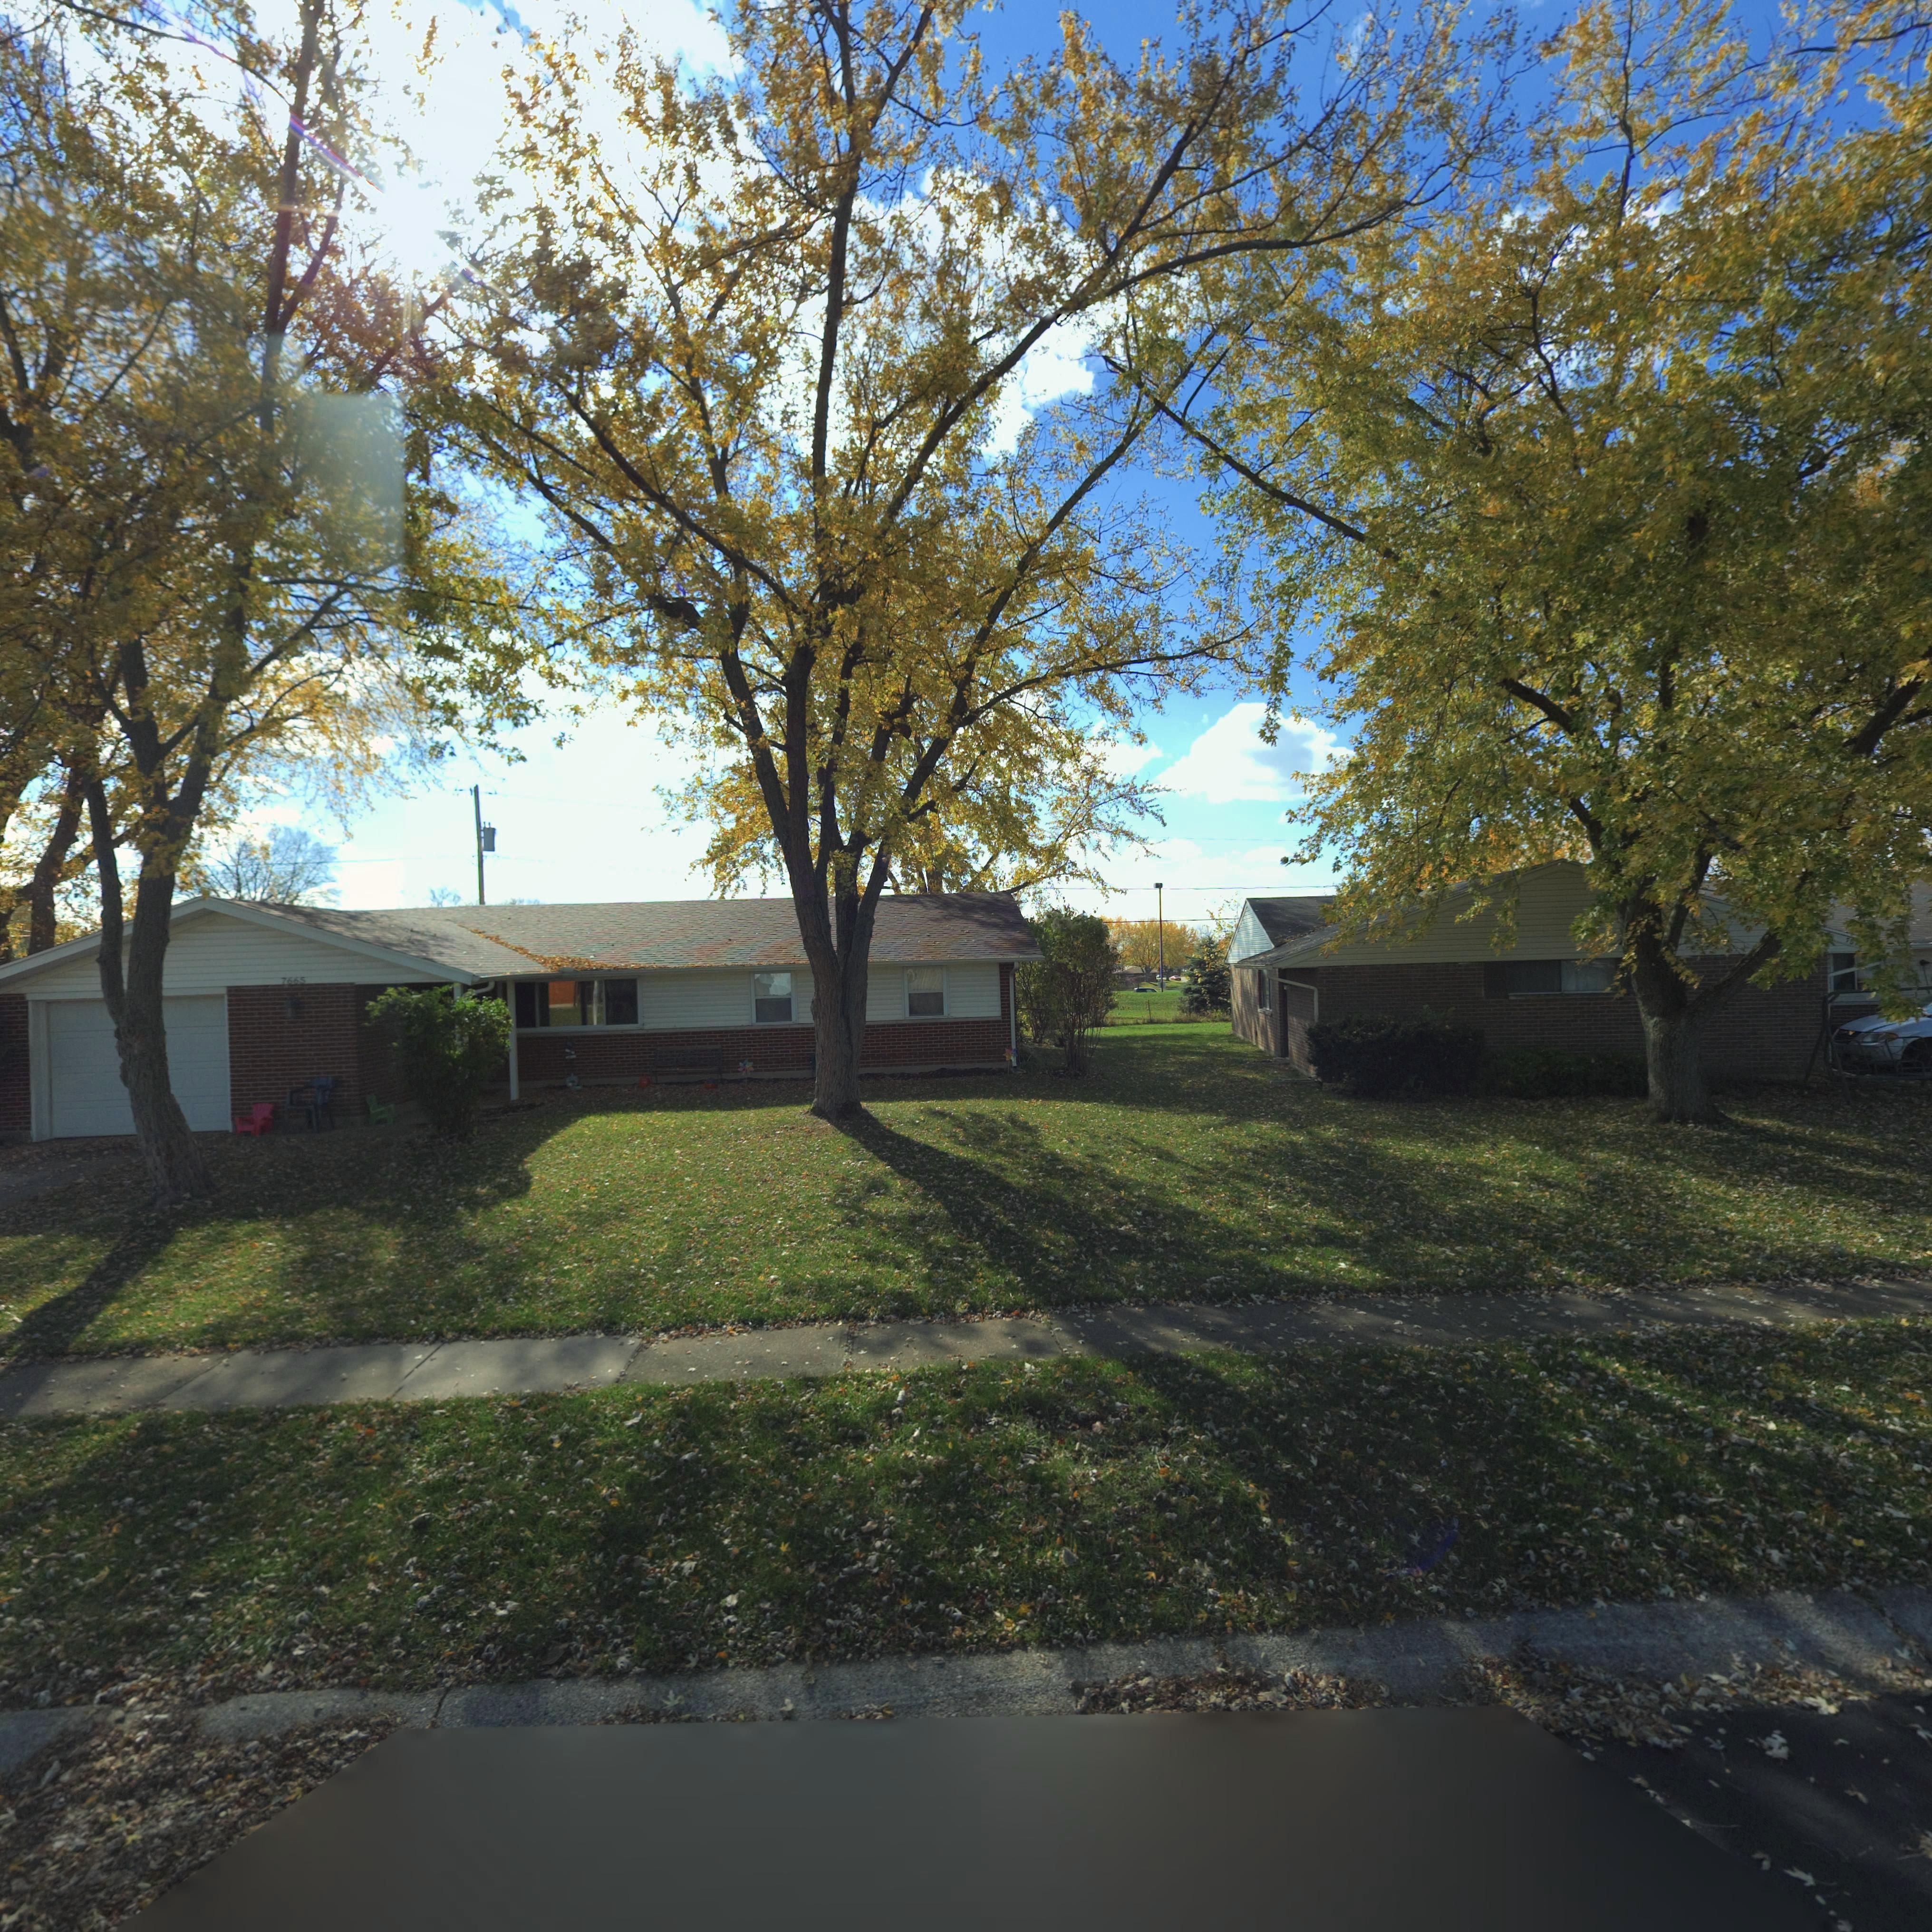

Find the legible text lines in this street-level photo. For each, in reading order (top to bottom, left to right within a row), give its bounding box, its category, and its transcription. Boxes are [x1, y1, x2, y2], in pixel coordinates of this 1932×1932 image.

[1845, 937, 1851, 943] StreetNumber: 7
[280, 976, 307, 985] StreetNumber: 7665